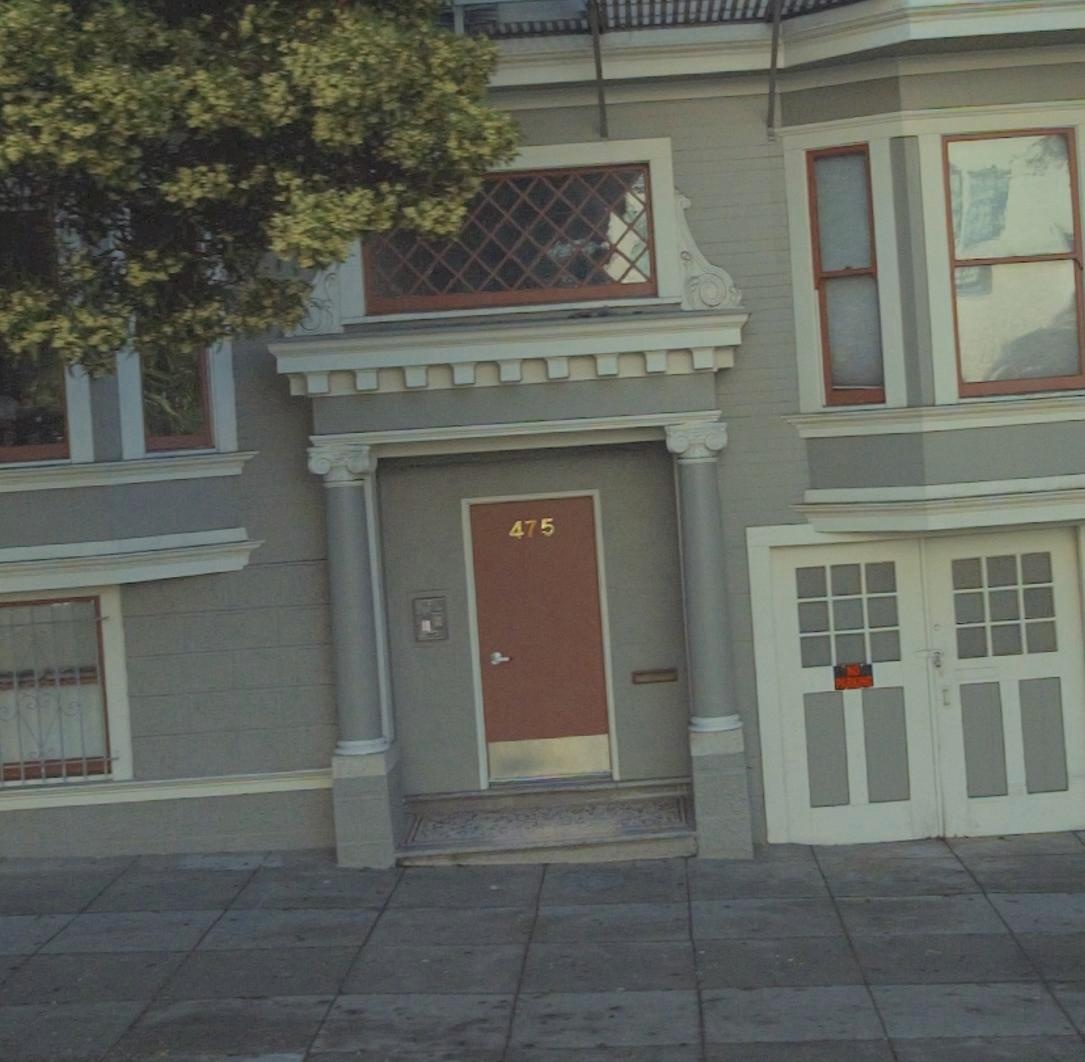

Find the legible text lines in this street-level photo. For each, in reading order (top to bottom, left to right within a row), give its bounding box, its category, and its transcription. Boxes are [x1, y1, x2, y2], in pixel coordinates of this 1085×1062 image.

[508, 516, 557, 544] StreetNumber: 475
[847, 665, 861, 676] None: NO
[834, 674, 872, 689] None: PARKING